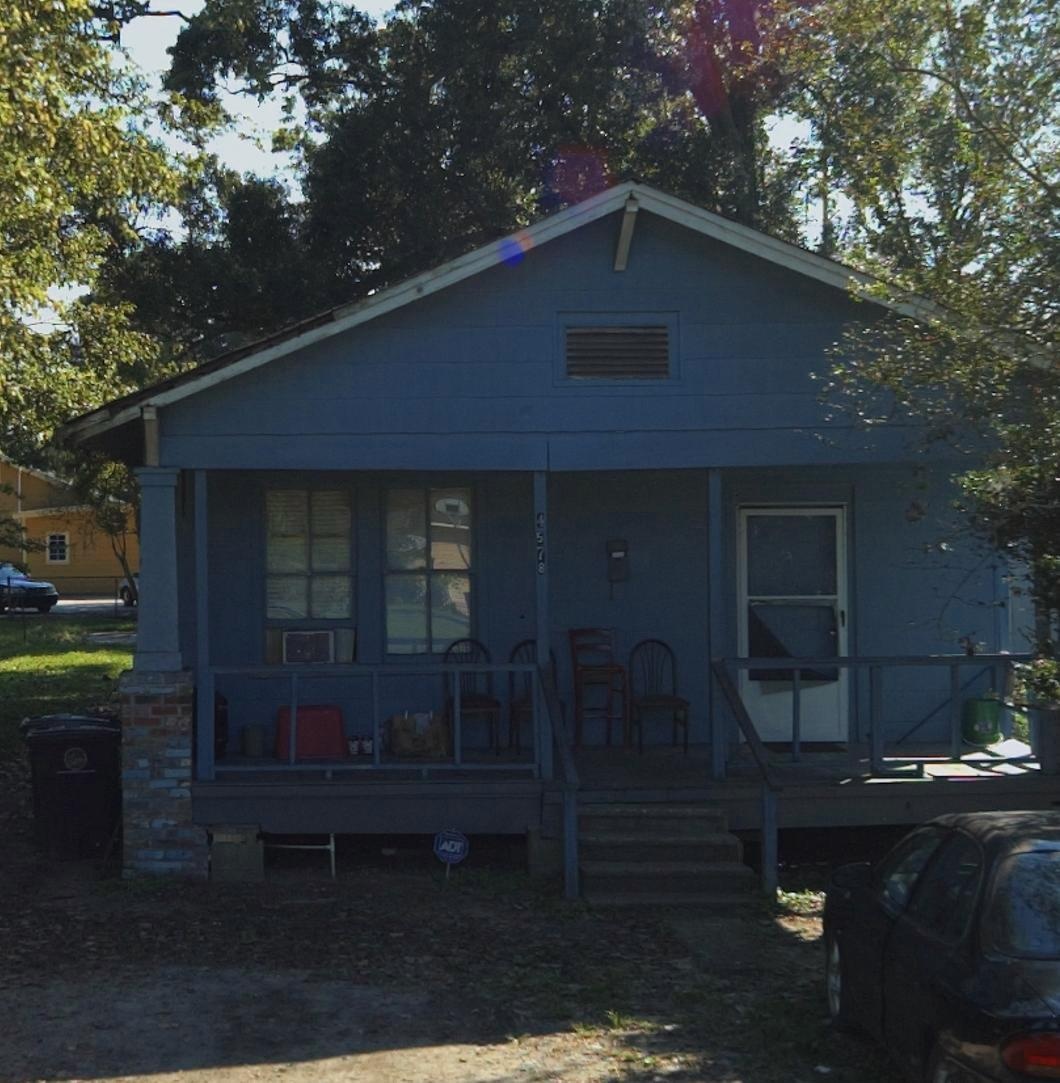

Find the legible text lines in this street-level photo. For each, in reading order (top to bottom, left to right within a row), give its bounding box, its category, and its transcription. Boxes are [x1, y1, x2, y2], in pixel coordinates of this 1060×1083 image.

[535, 513, 546, 574] StreetNumber: 4578
[438, 839, 465, 853] None: ADT